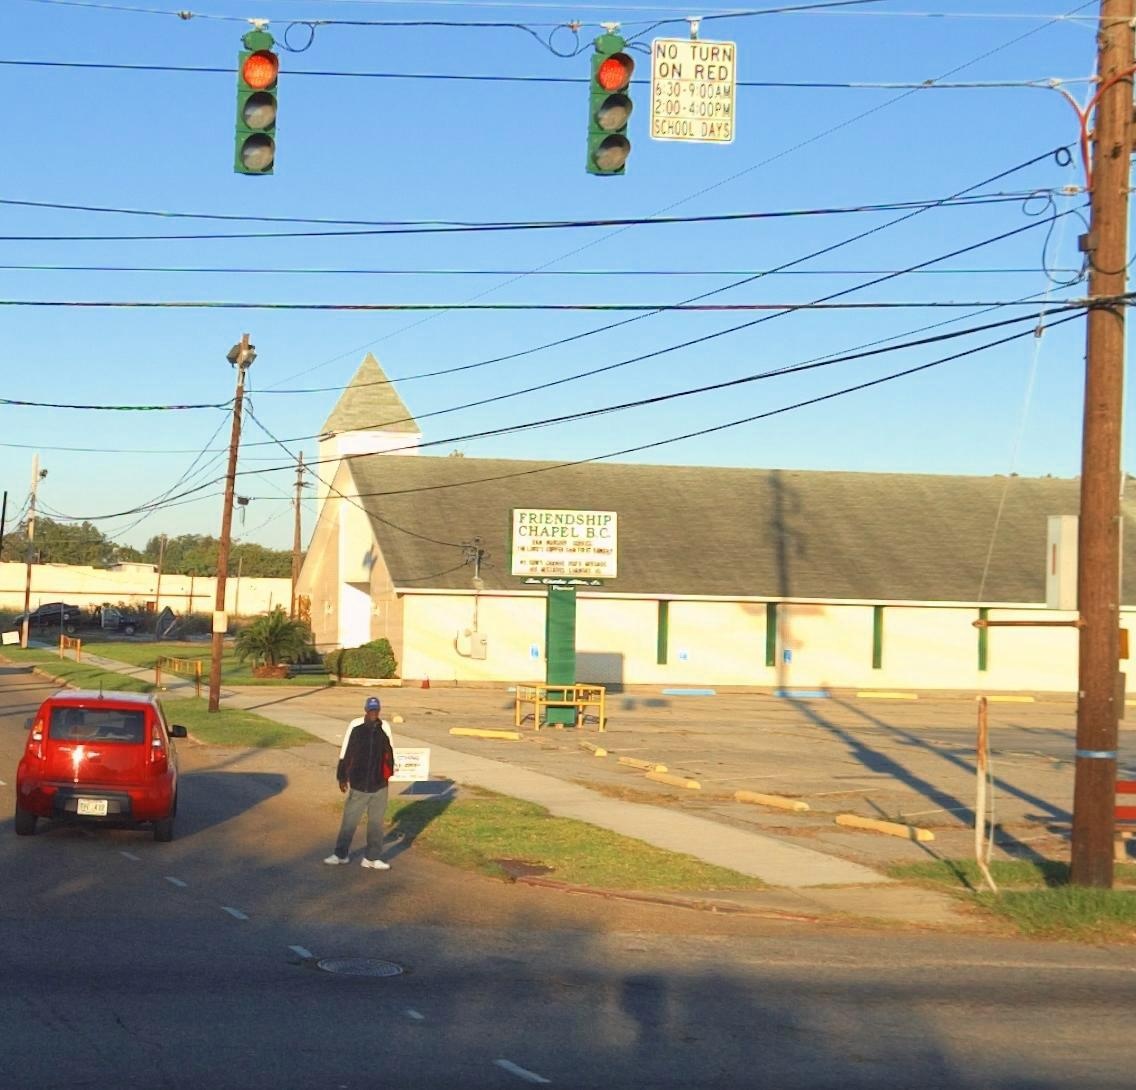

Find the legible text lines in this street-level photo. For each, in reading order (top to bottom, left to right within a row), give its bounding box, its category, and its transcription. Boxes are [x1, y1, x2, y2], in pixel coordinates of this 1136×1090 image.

[653, 42, 734, 65] None: NO TURN
[655, 59, 731, 83] None: ON RED
[653, 80, 733, 102] None: 6:30*9:00AM
[653, 98, 733, 120] None: 2:00*4:00PM
[653, 115, 733, 141] None: SCHOOL DAYS
[517, 510, 613, 527] BusinessName: FRIENDSHIP
[516, 524, 613, 540] BusinessName: CHAPEL B.C.